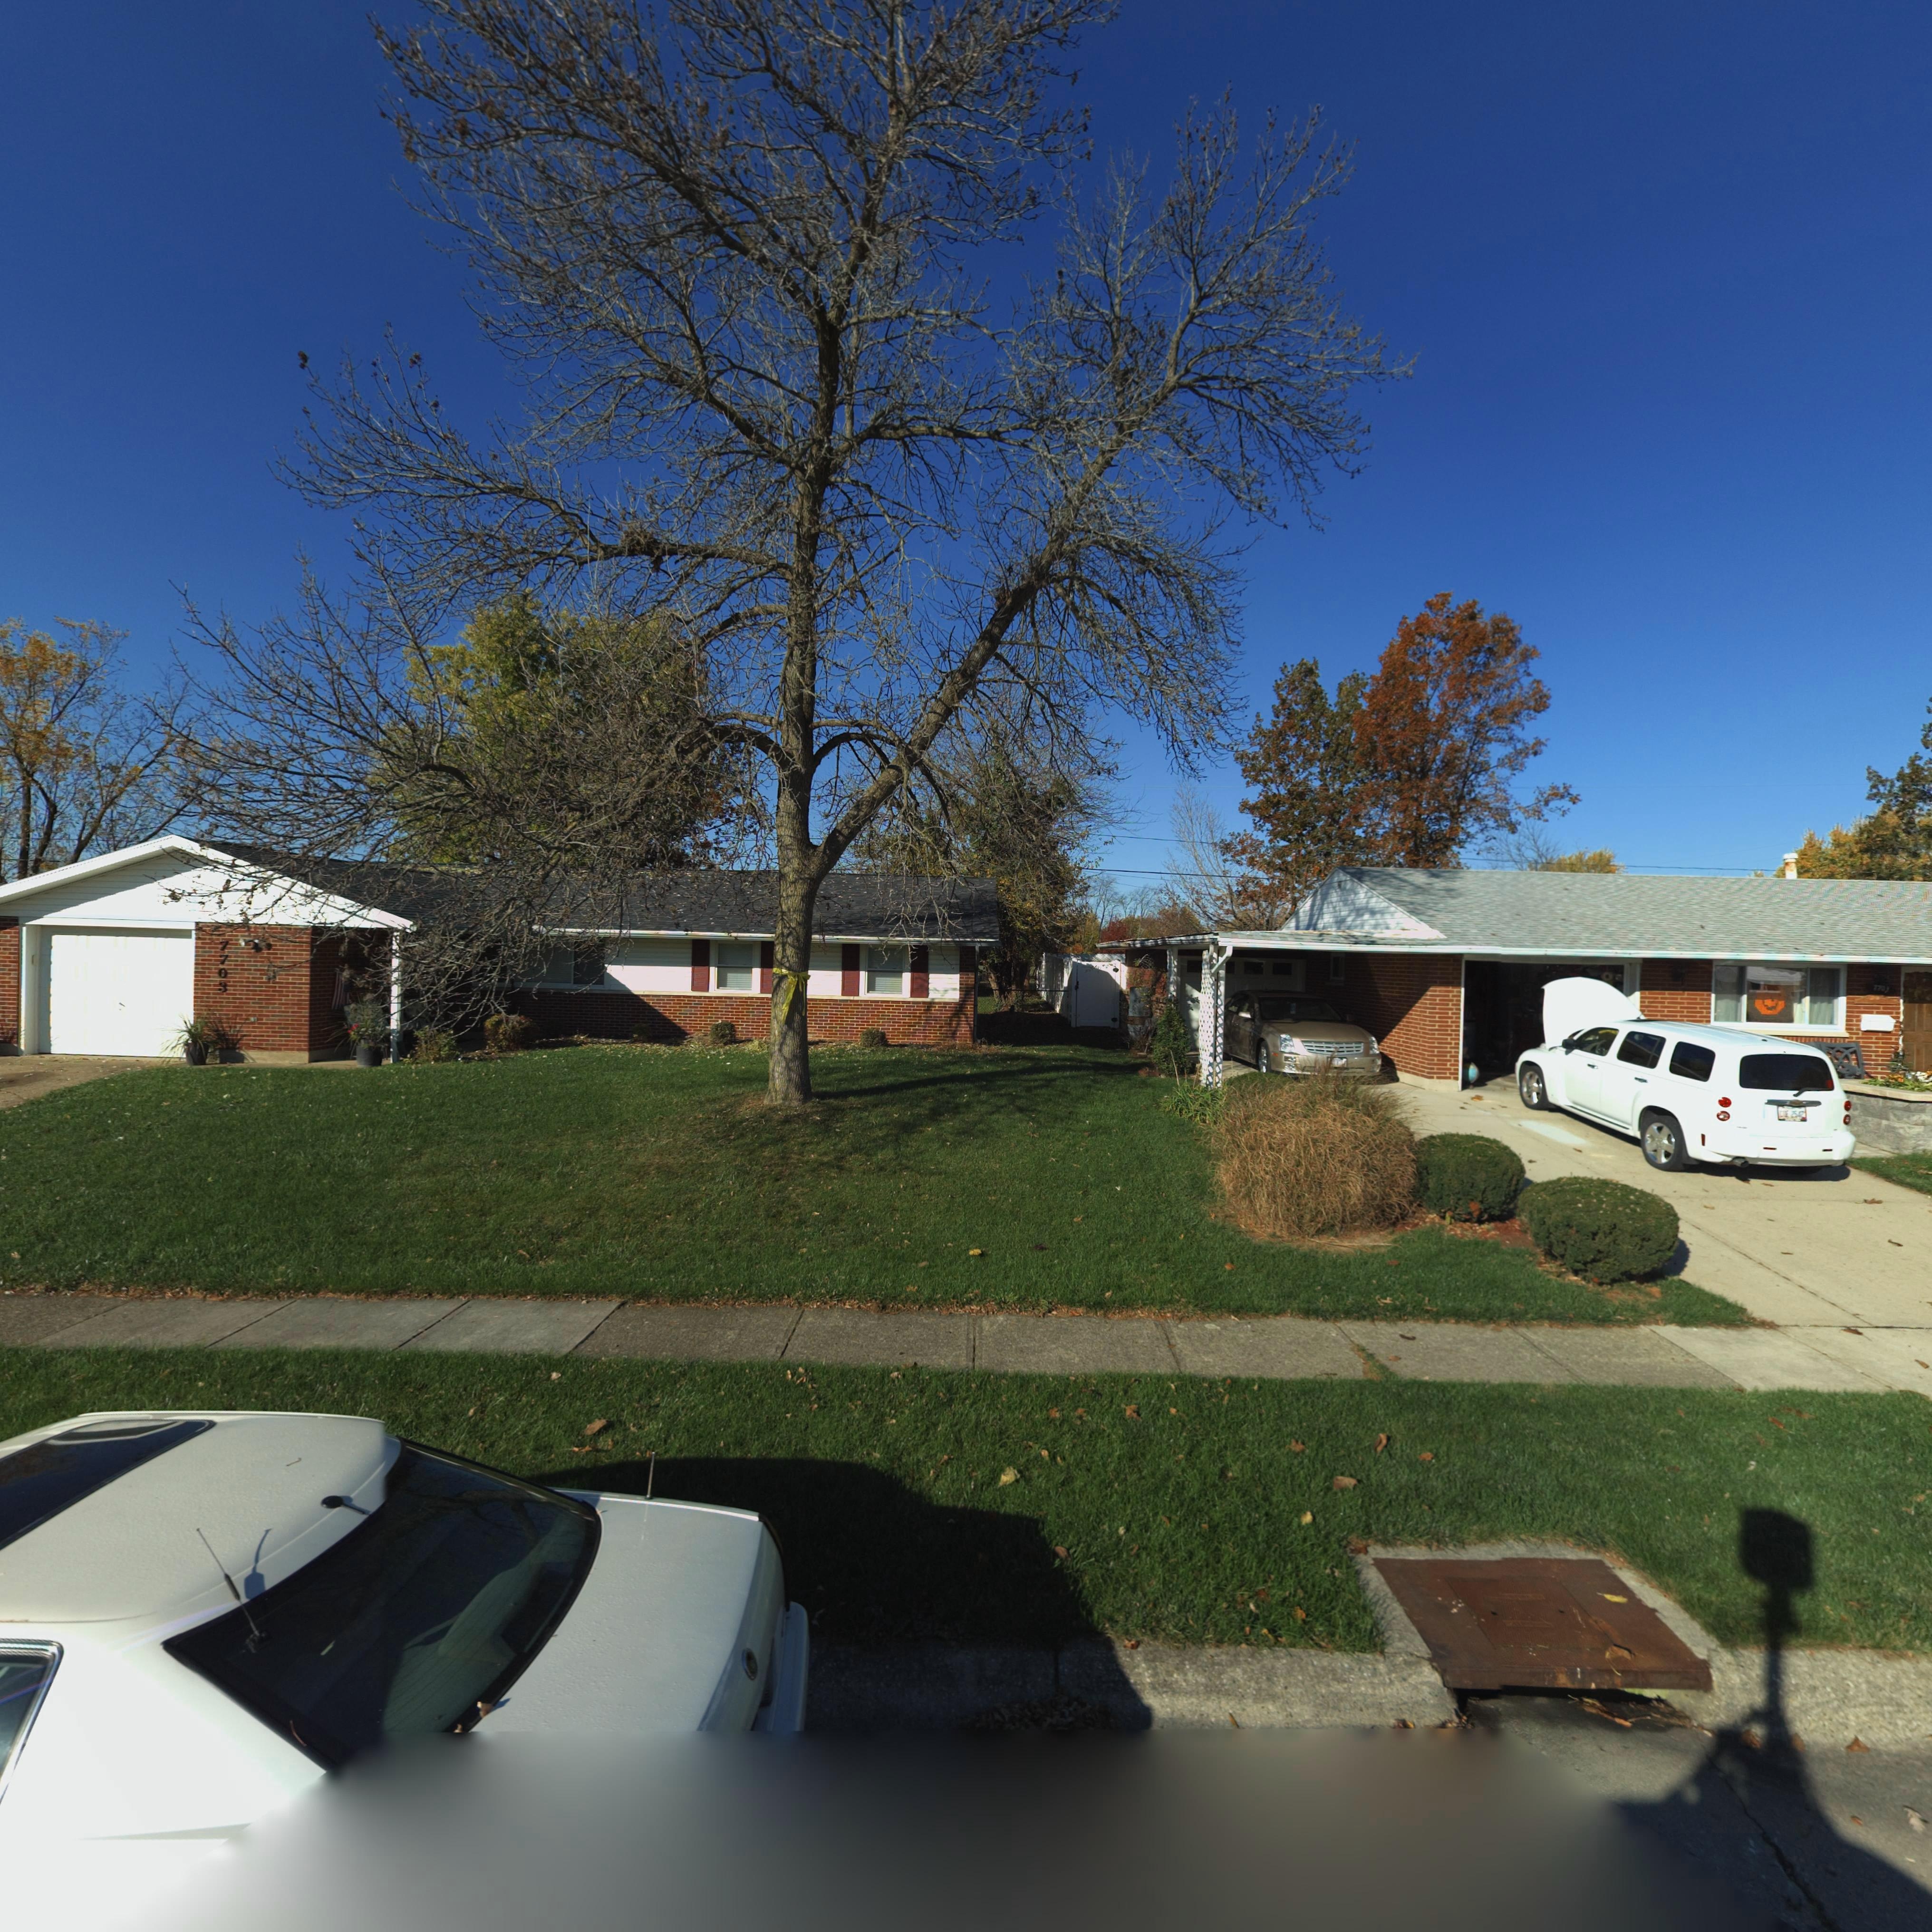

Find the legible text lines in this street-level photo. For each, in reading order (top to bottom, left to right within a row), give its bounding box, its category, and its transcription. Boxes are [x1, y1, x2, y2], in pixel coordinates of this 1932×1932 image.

[216, 939, 230, 994] StreetNumber: 7703
[1872, 983, 1892, 995] StreetNumber: 770*